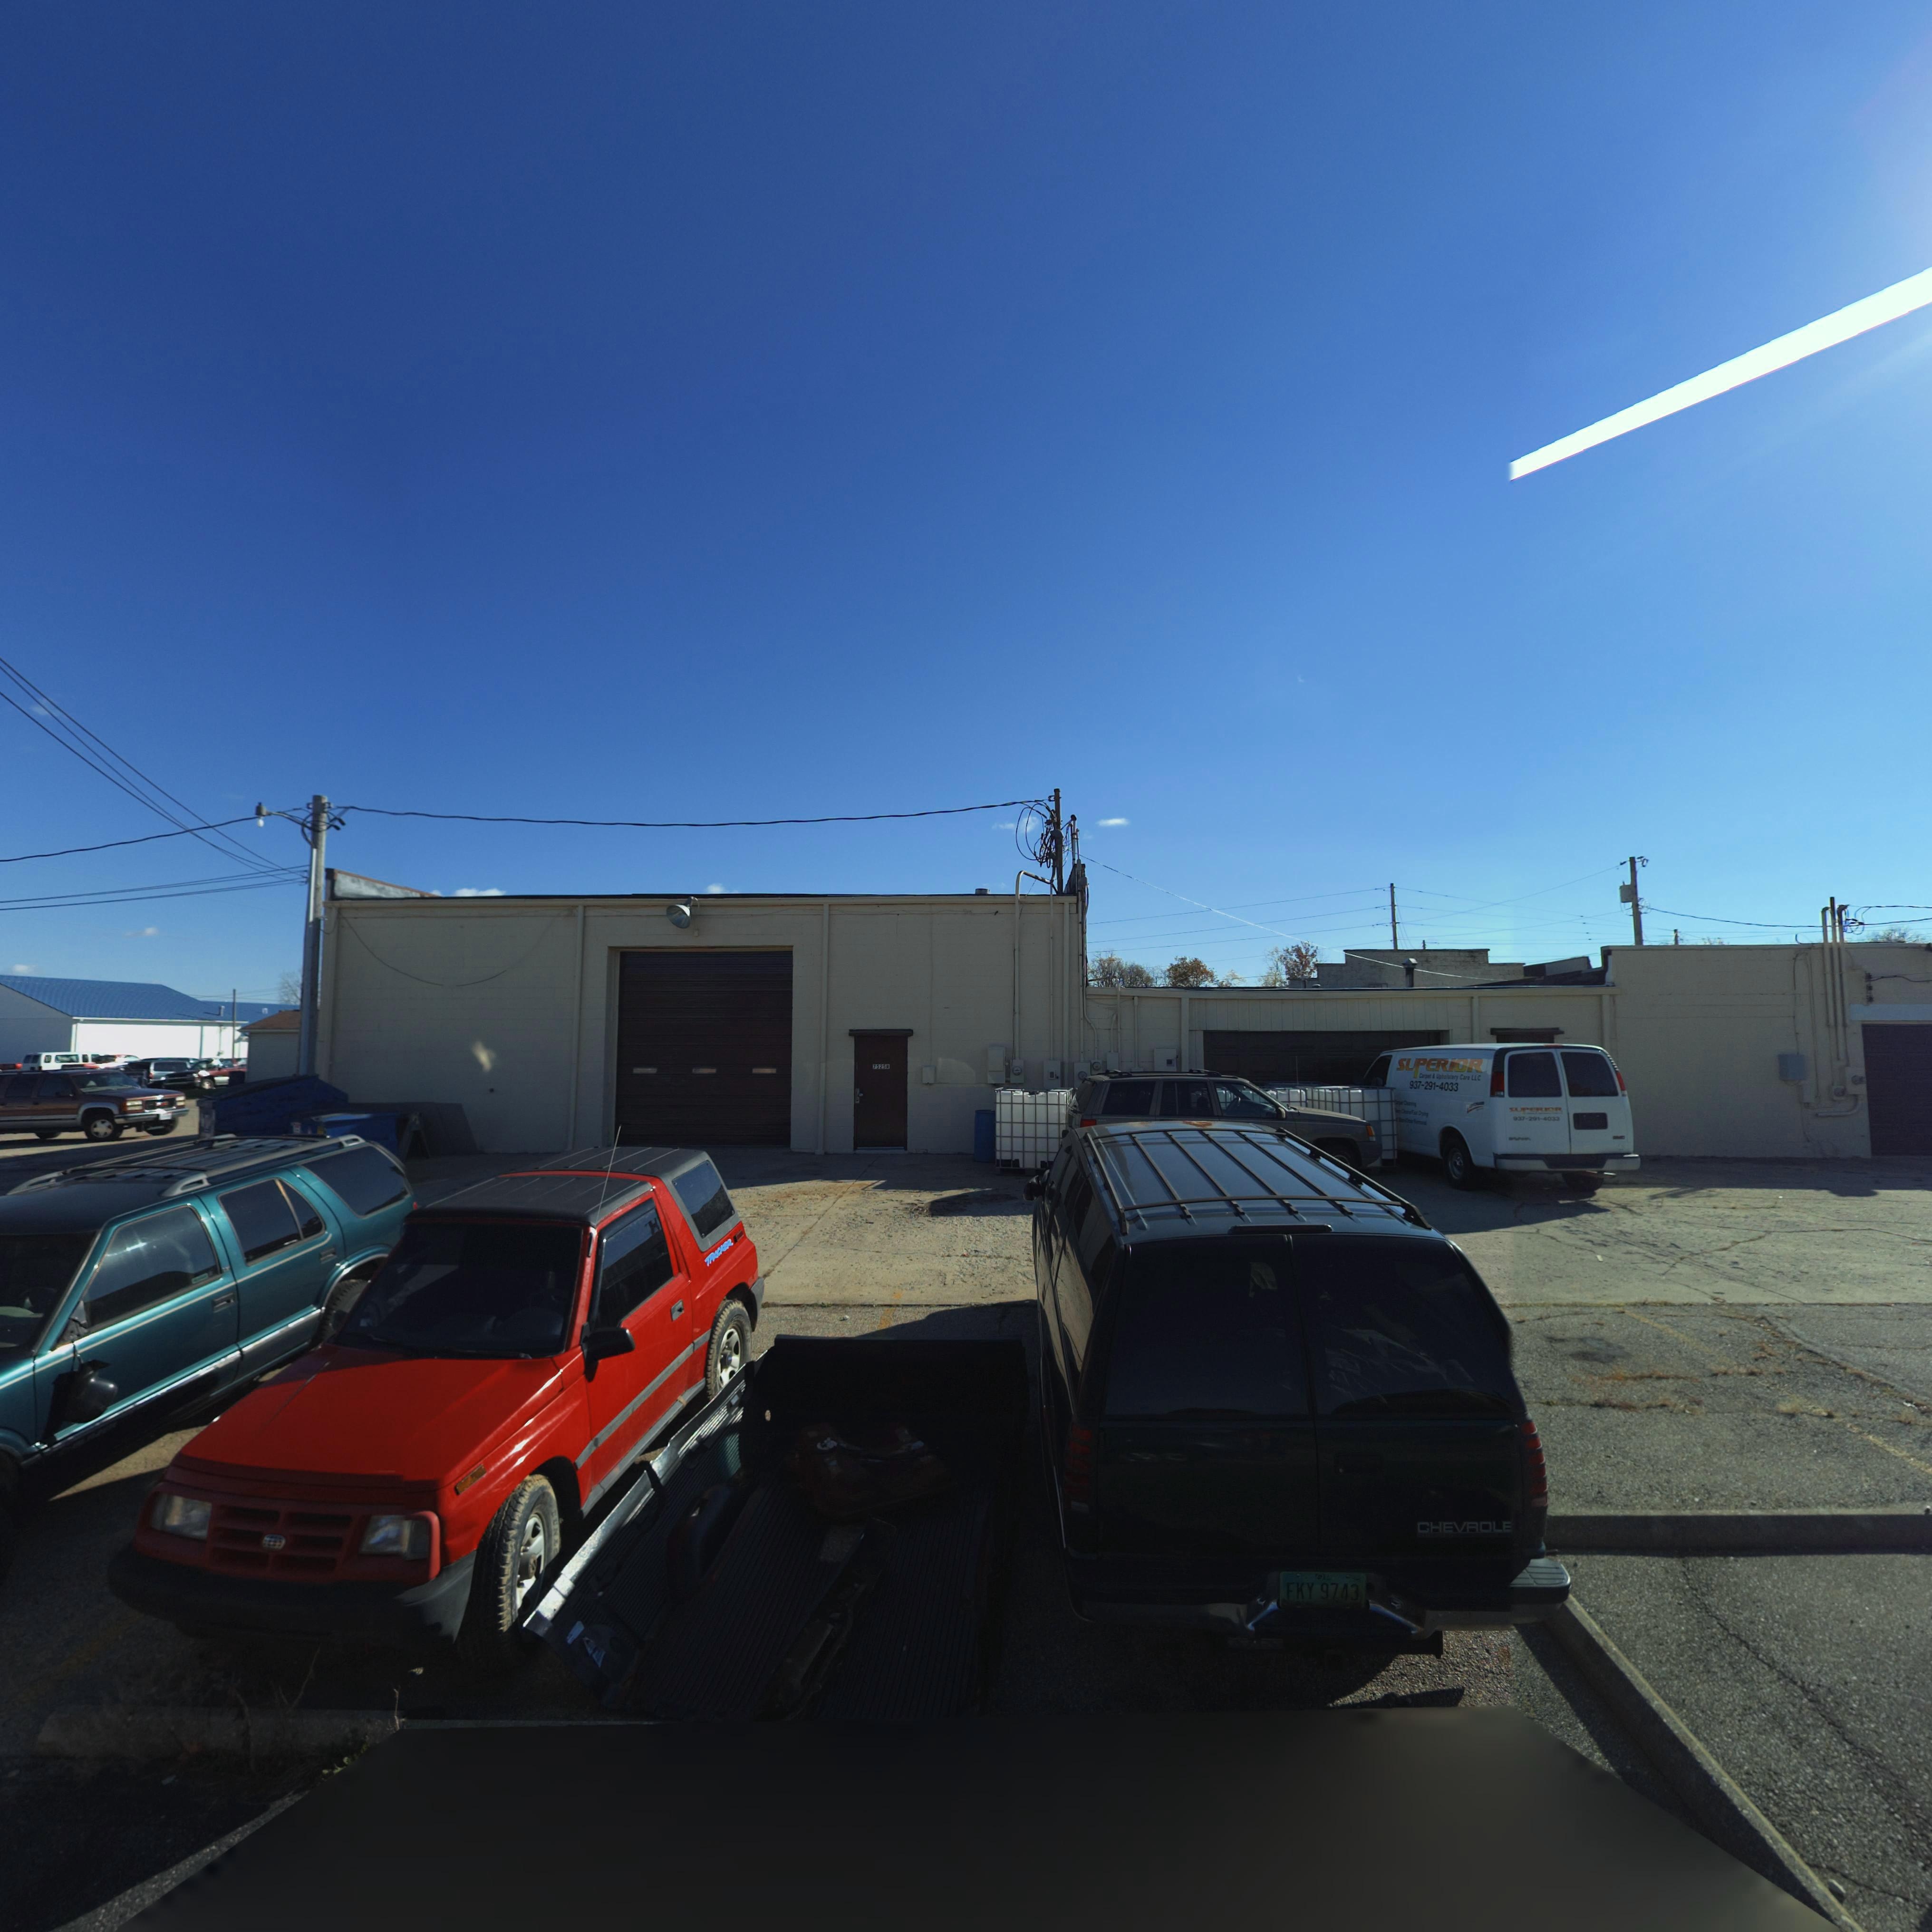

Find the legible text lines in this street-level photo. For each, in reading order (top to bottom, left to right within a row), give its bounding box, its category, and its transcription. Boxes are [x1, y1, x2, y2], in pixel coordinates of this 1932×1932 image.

[872, 1063, 886, 1069] StreetNumber: 7525